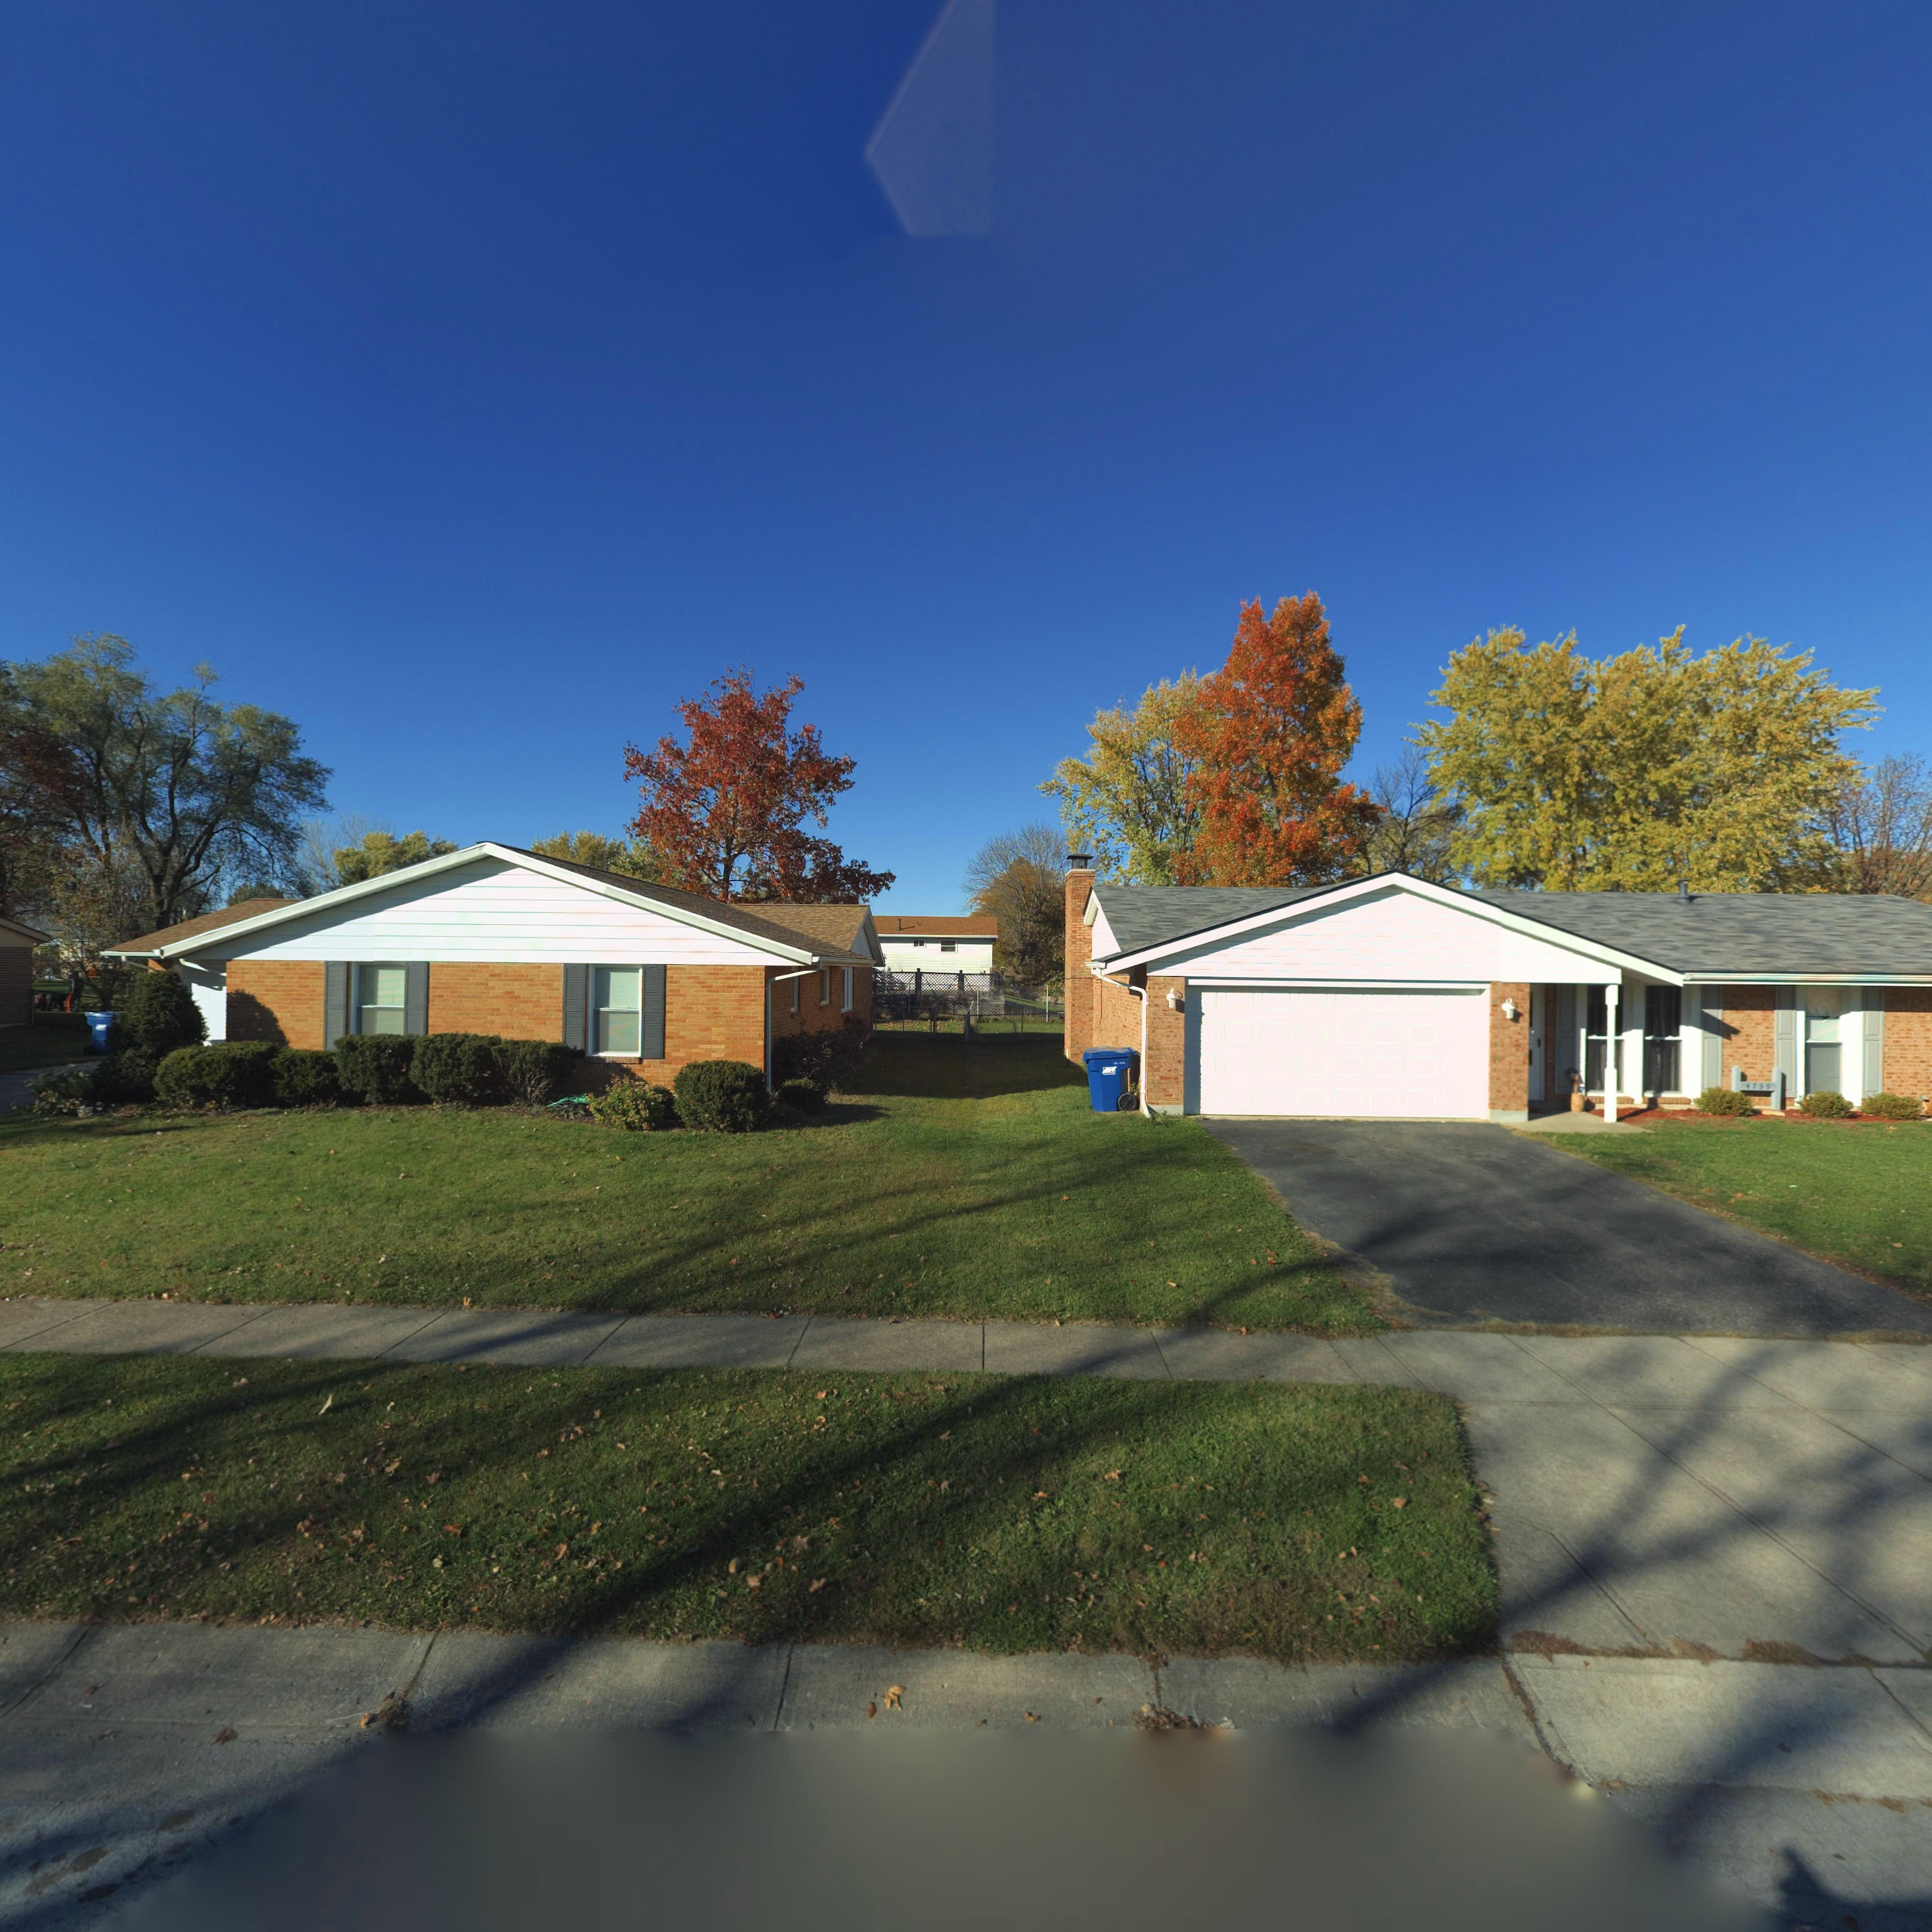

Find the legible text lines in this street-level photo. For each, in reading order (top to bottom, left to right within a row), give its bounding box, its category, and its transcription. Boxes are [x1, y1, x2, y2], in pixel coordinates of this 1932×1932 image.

[1744, 1082, 1772, 1091] StreetNumber: *739